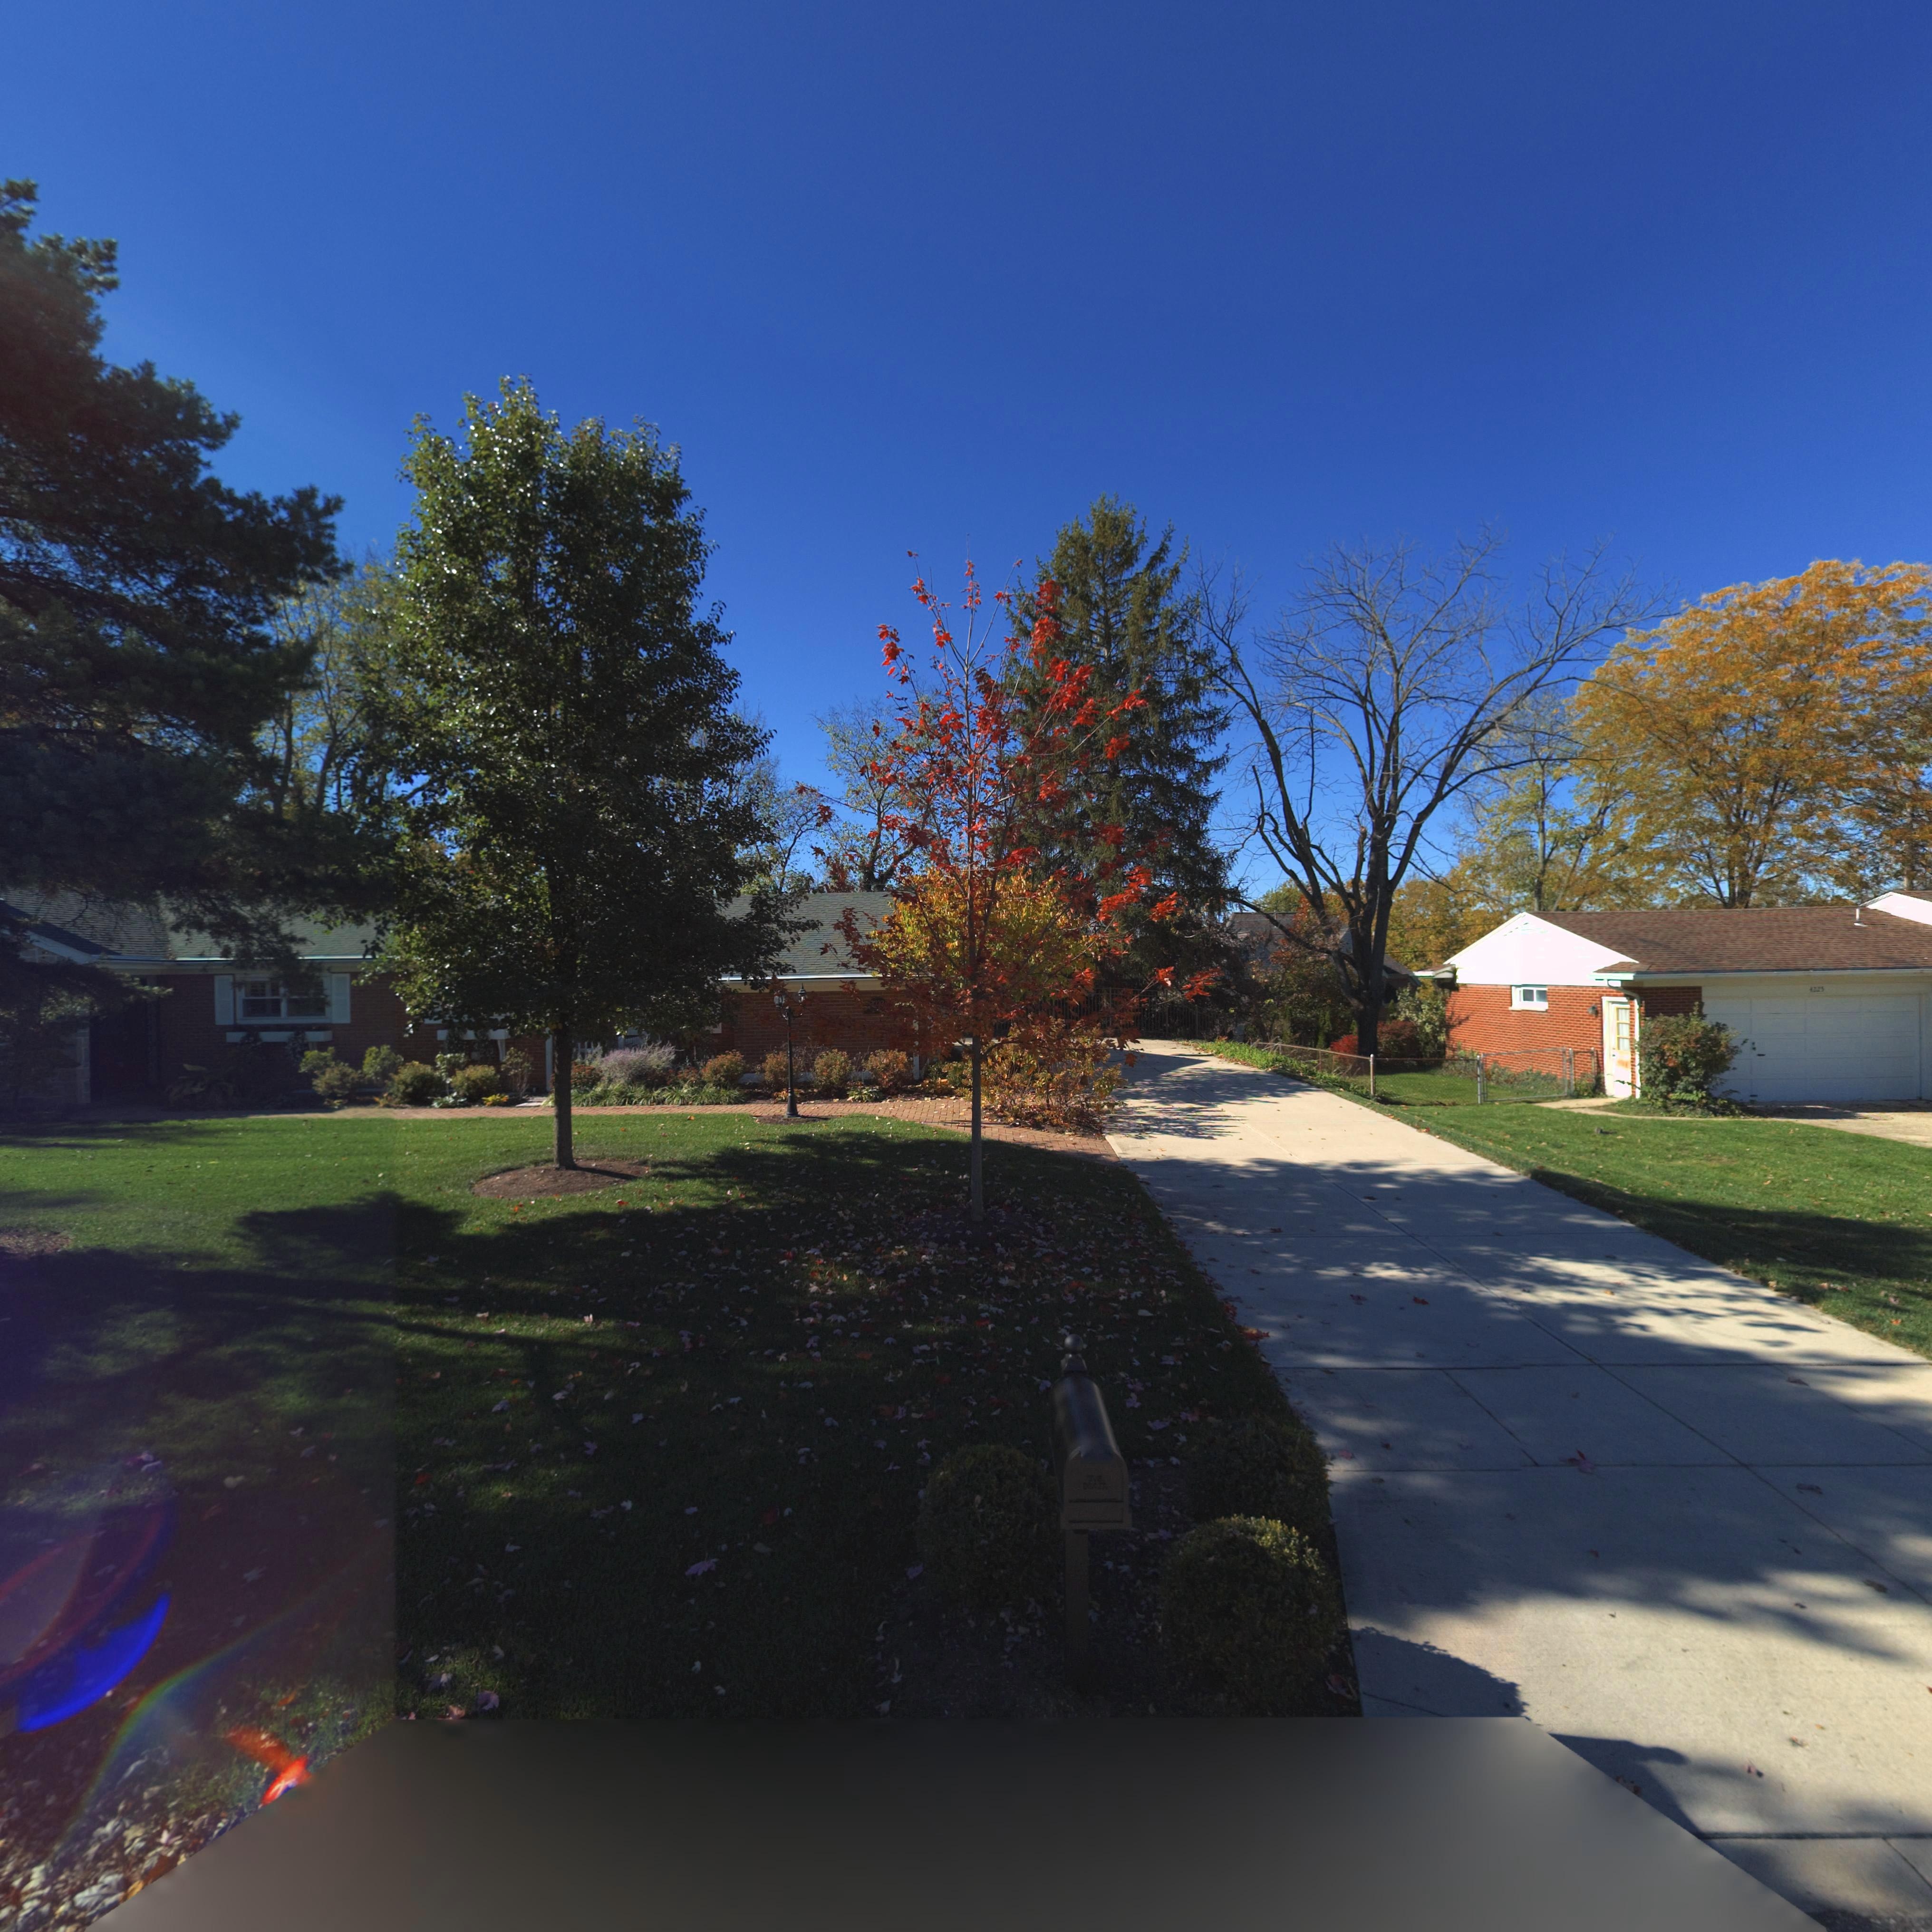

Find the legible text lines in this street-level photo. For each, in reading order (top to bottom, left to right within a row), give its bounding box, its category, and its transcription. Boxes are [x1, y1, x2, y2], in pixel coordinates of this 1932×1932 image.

[1808, 985, 1825, 992] StreetNumber: 4225
[869, 999, 884, 1006] StreetNumber: 4233